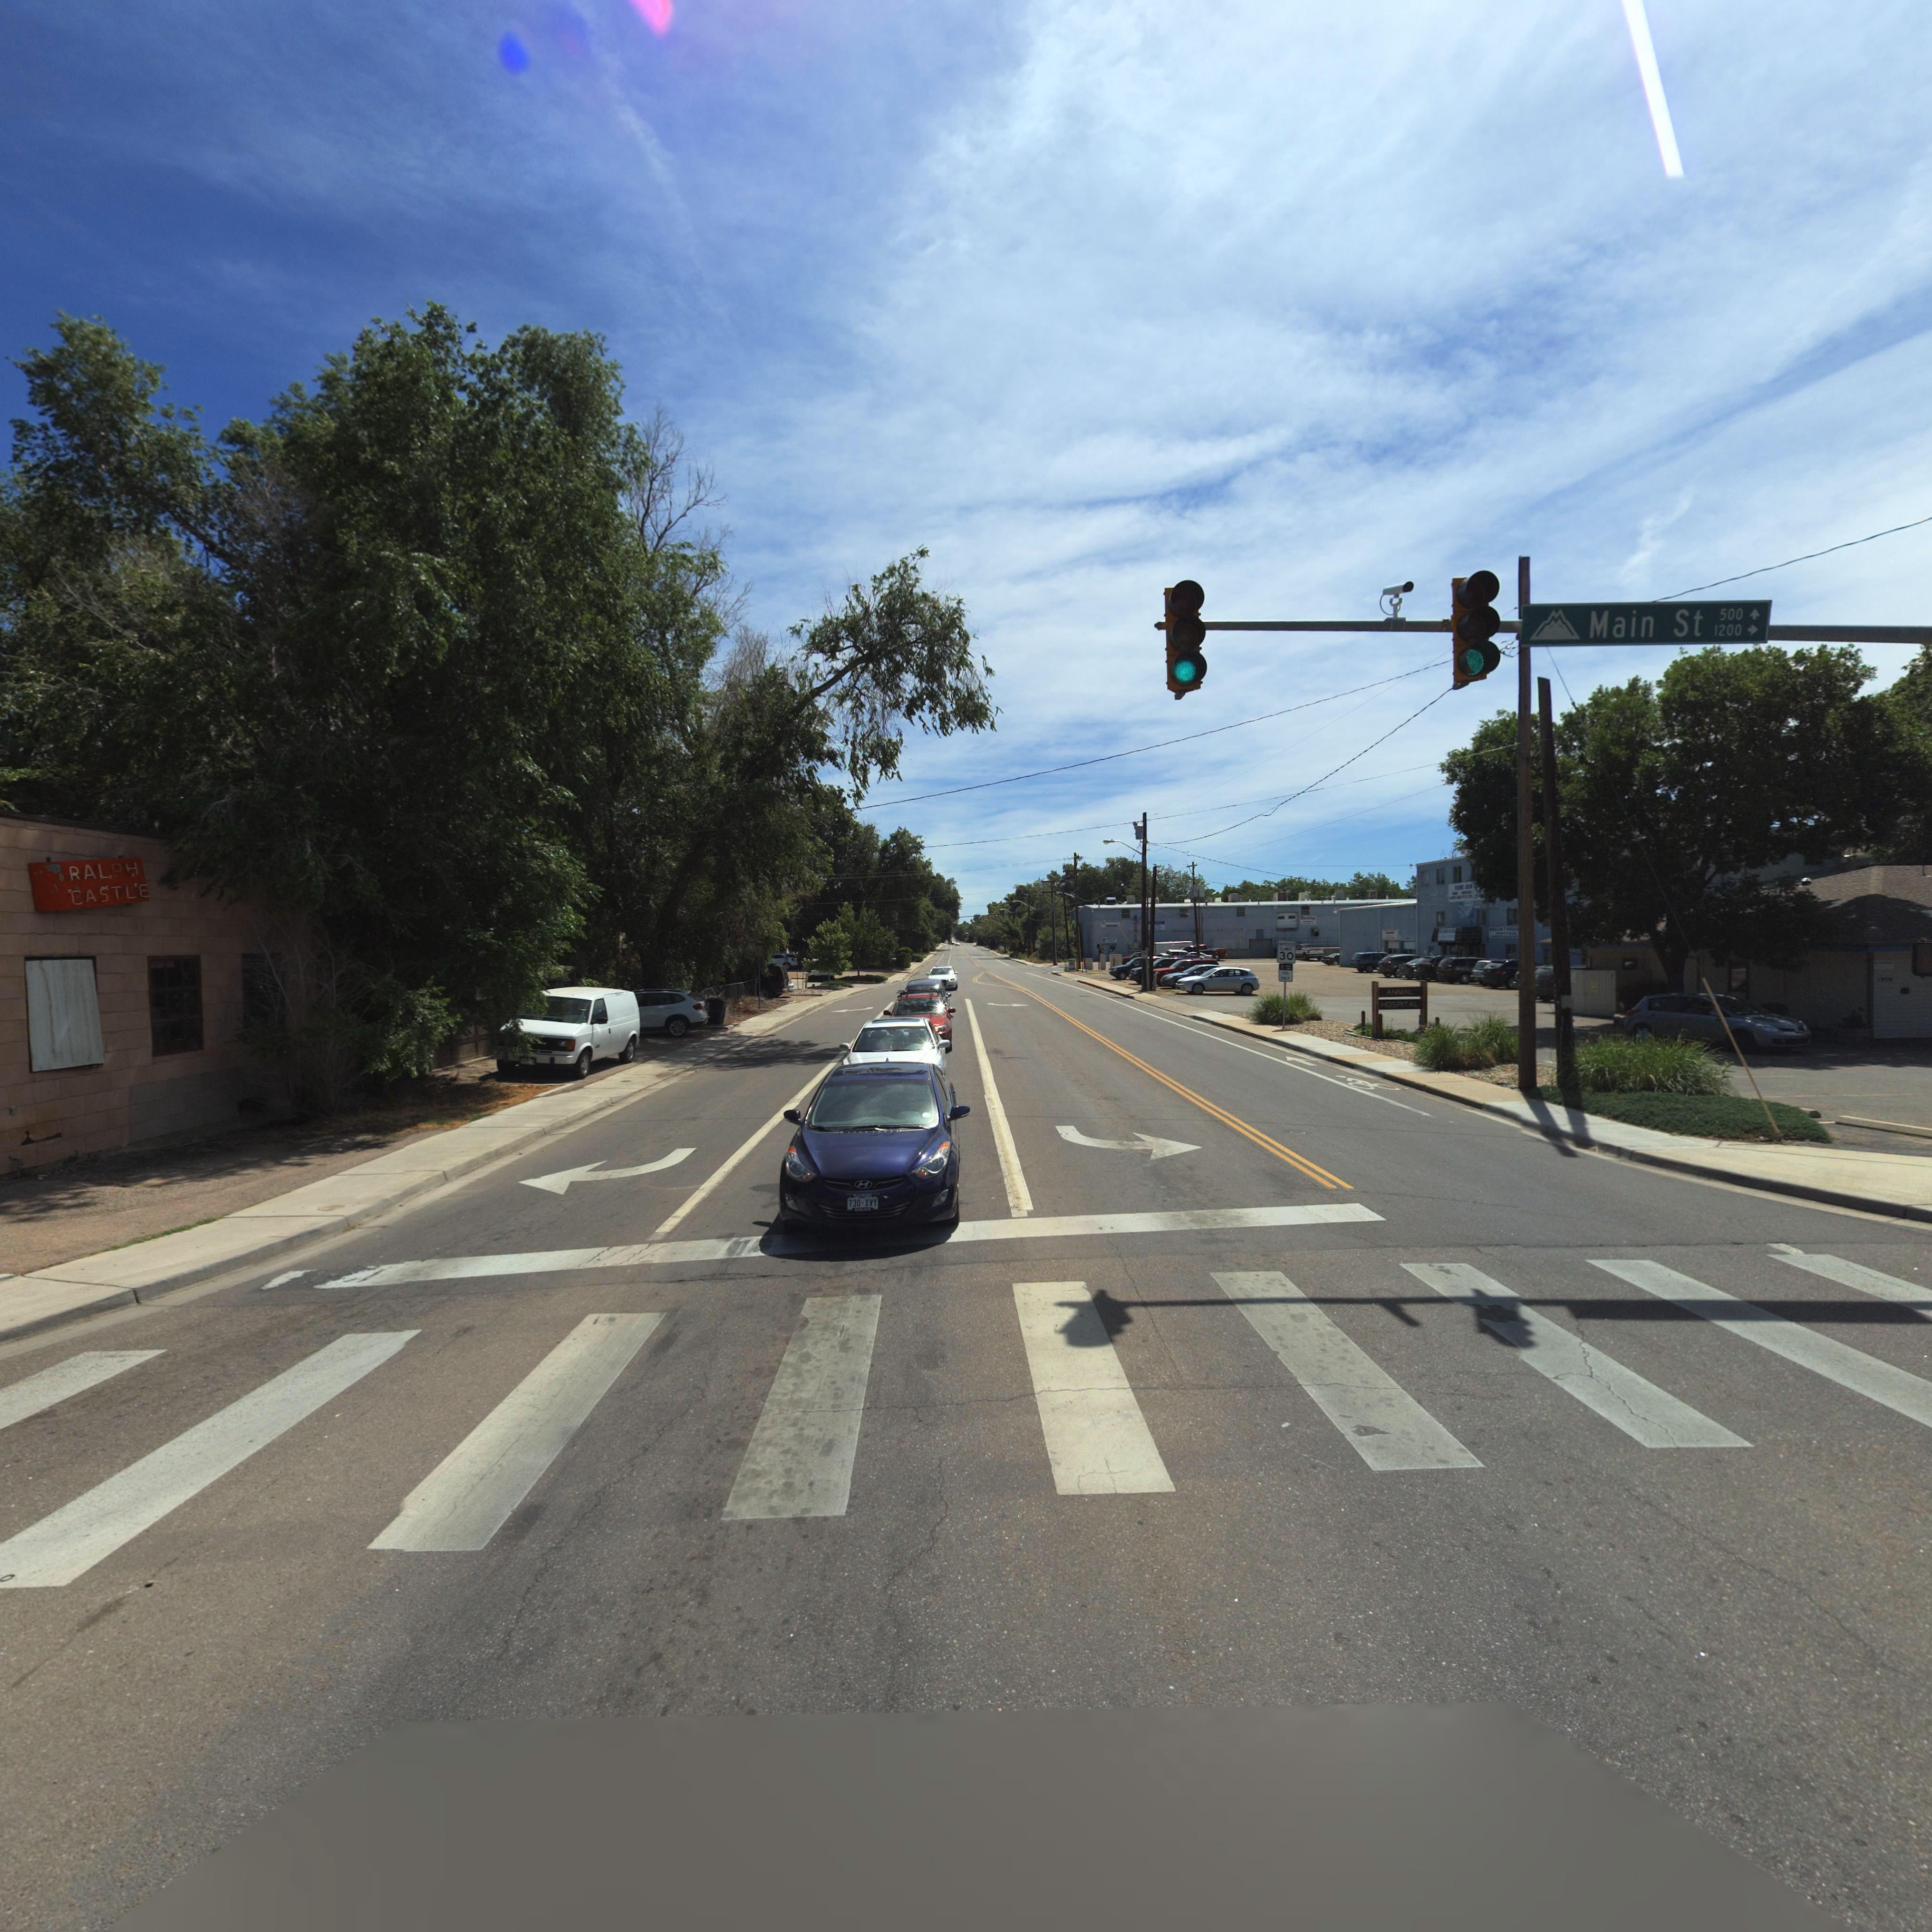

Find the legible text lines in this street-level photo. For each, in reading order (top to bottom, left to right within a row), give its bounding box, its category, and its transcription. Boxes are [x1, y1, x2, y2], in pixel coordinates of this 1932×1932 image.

[1719, 608, 1743, 621] StreetNumberRange: 500
[1589, 609, 1703, 638] StreetName: Main St
[1714, 623, 1759, 637] StreetNumberRange: 1200->
[69, 861, 138, 881] BusinessName: RALPH
[71, 883, 150, 906] BusinessName: CASTLE
[1877, 976, 1893, 982] StreetNumber: 12**
[1386, 988, 1413, 995] BusinessName: ANIMAL
[1381, 1001, 1419, 1007] BusinessName: HOSPITAL